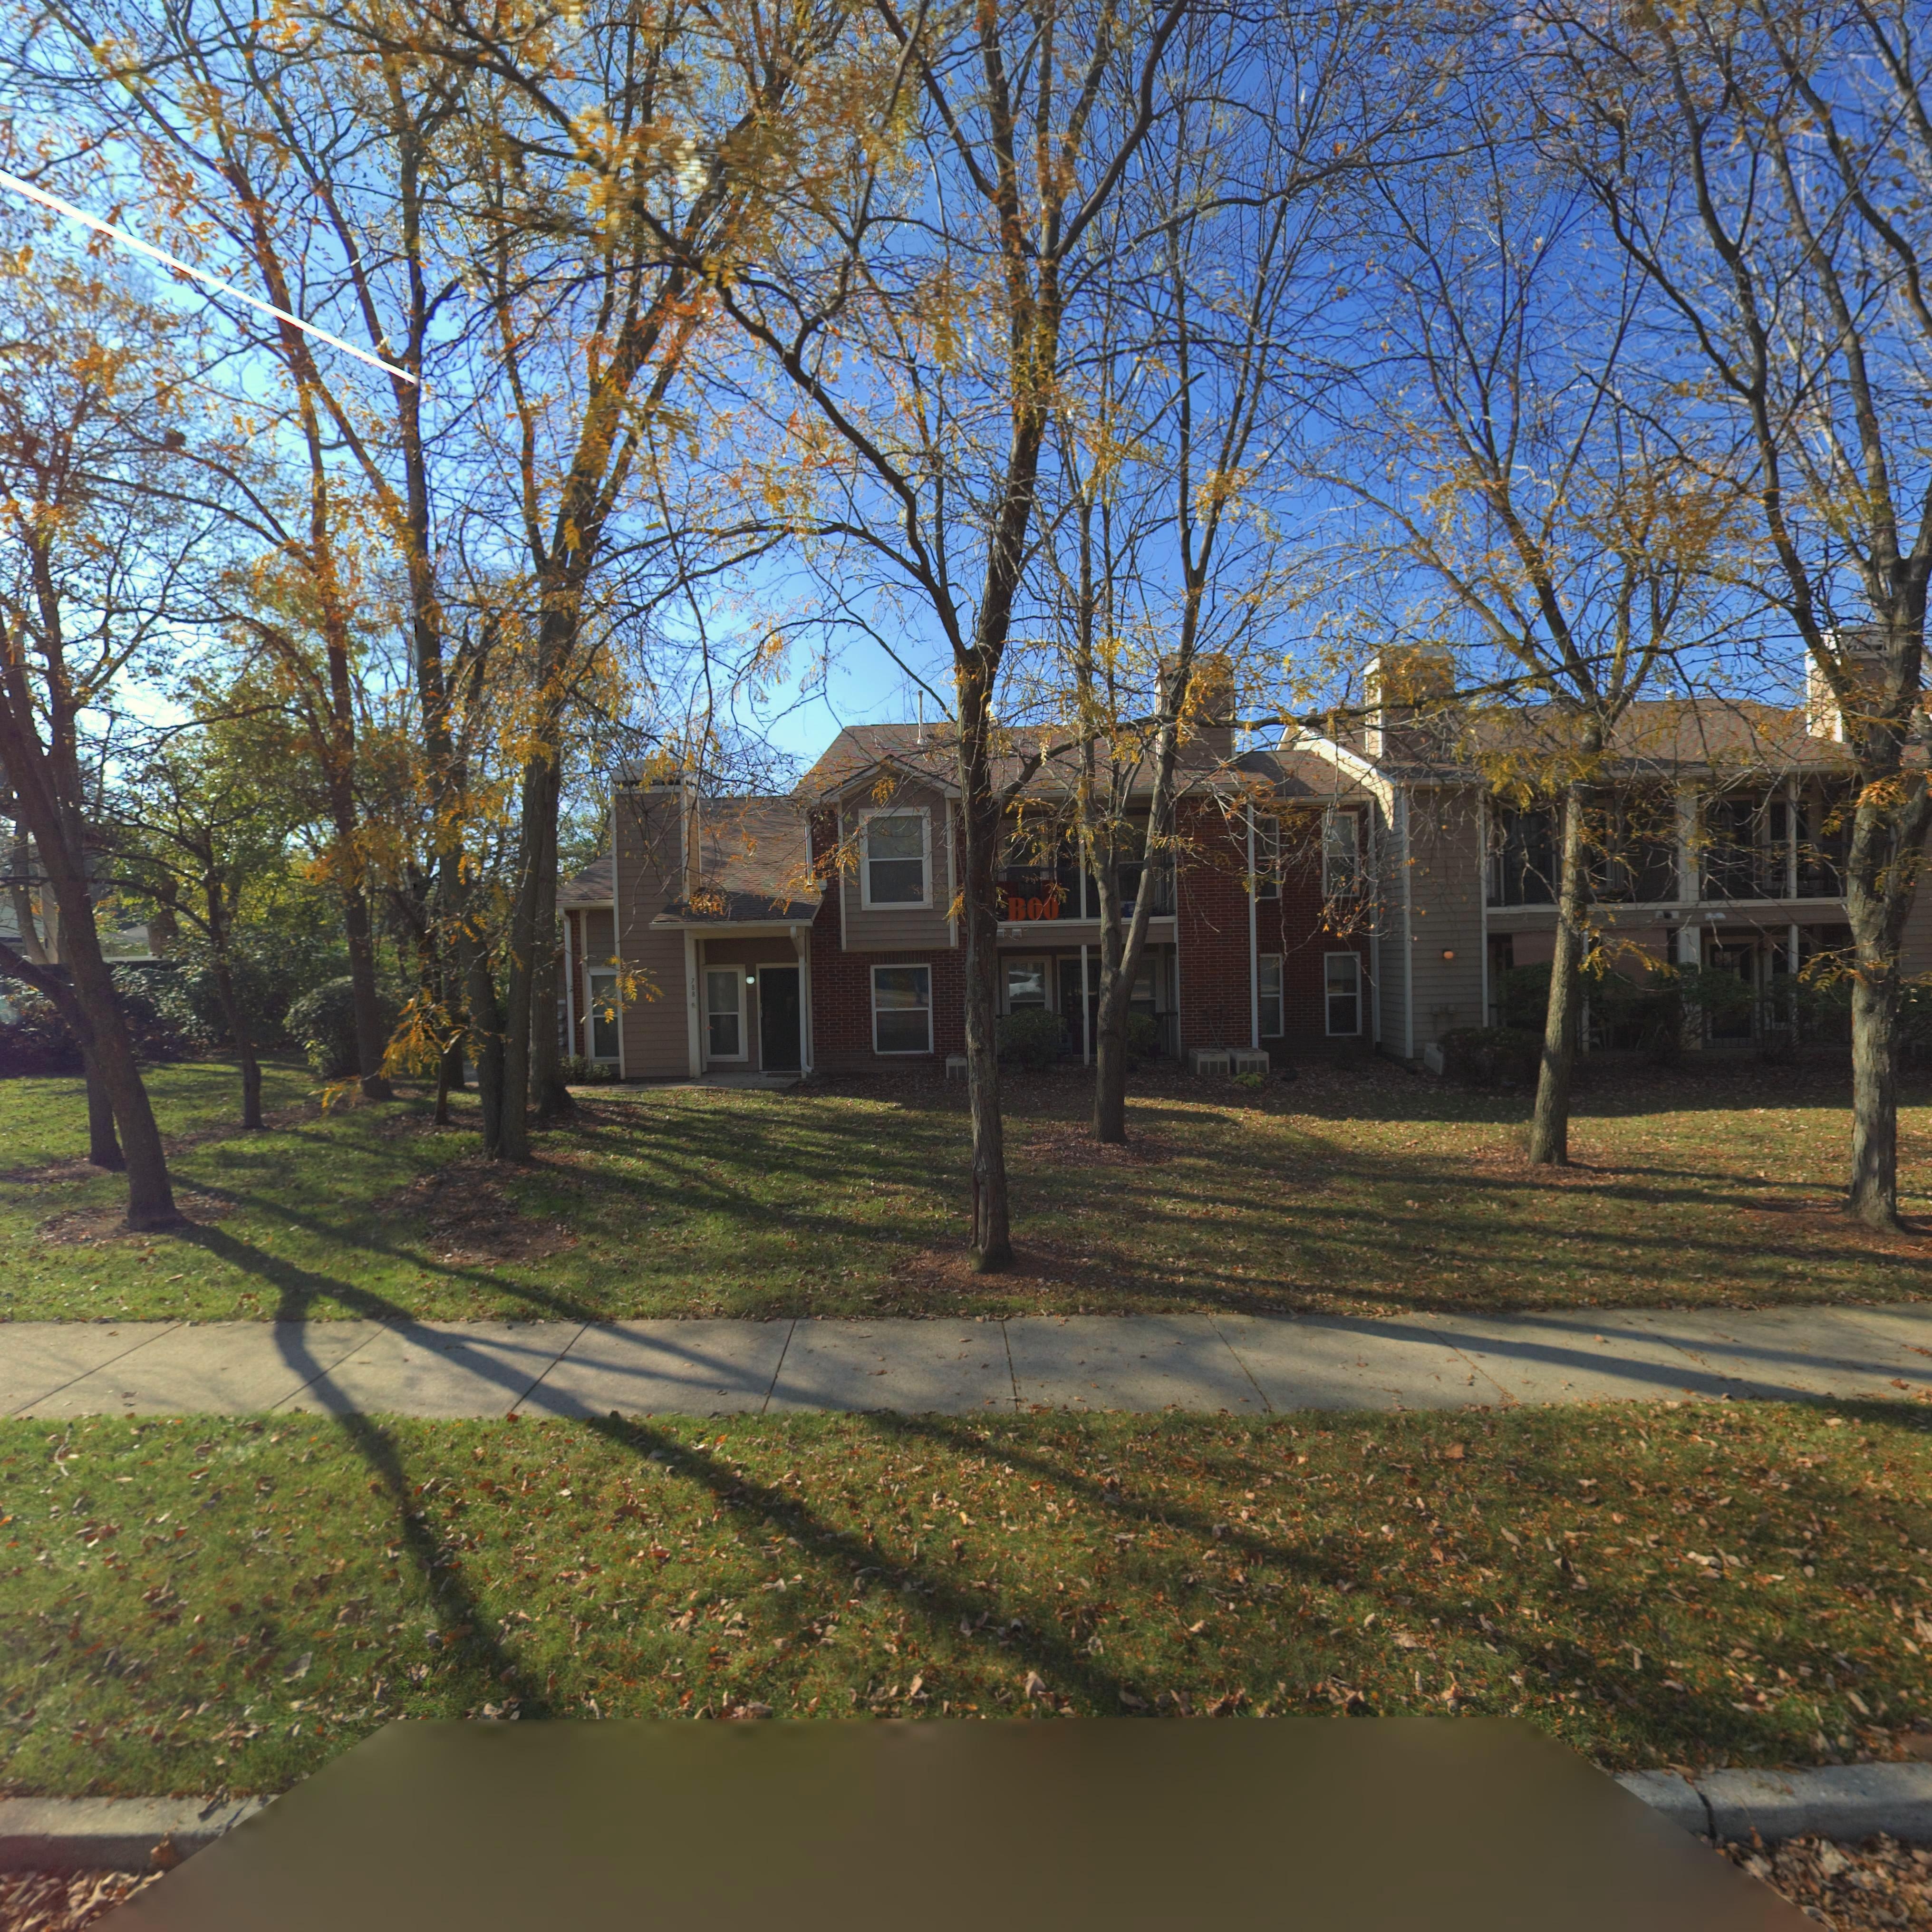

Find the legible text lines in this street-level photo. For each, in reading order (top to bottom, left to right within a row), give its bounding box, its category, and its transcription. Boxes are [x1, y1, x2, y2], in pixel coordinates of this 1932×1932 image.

[1007, 897, 1059, 921] None: BOO
[691, 977, 696, 997] StreetNumber: 788